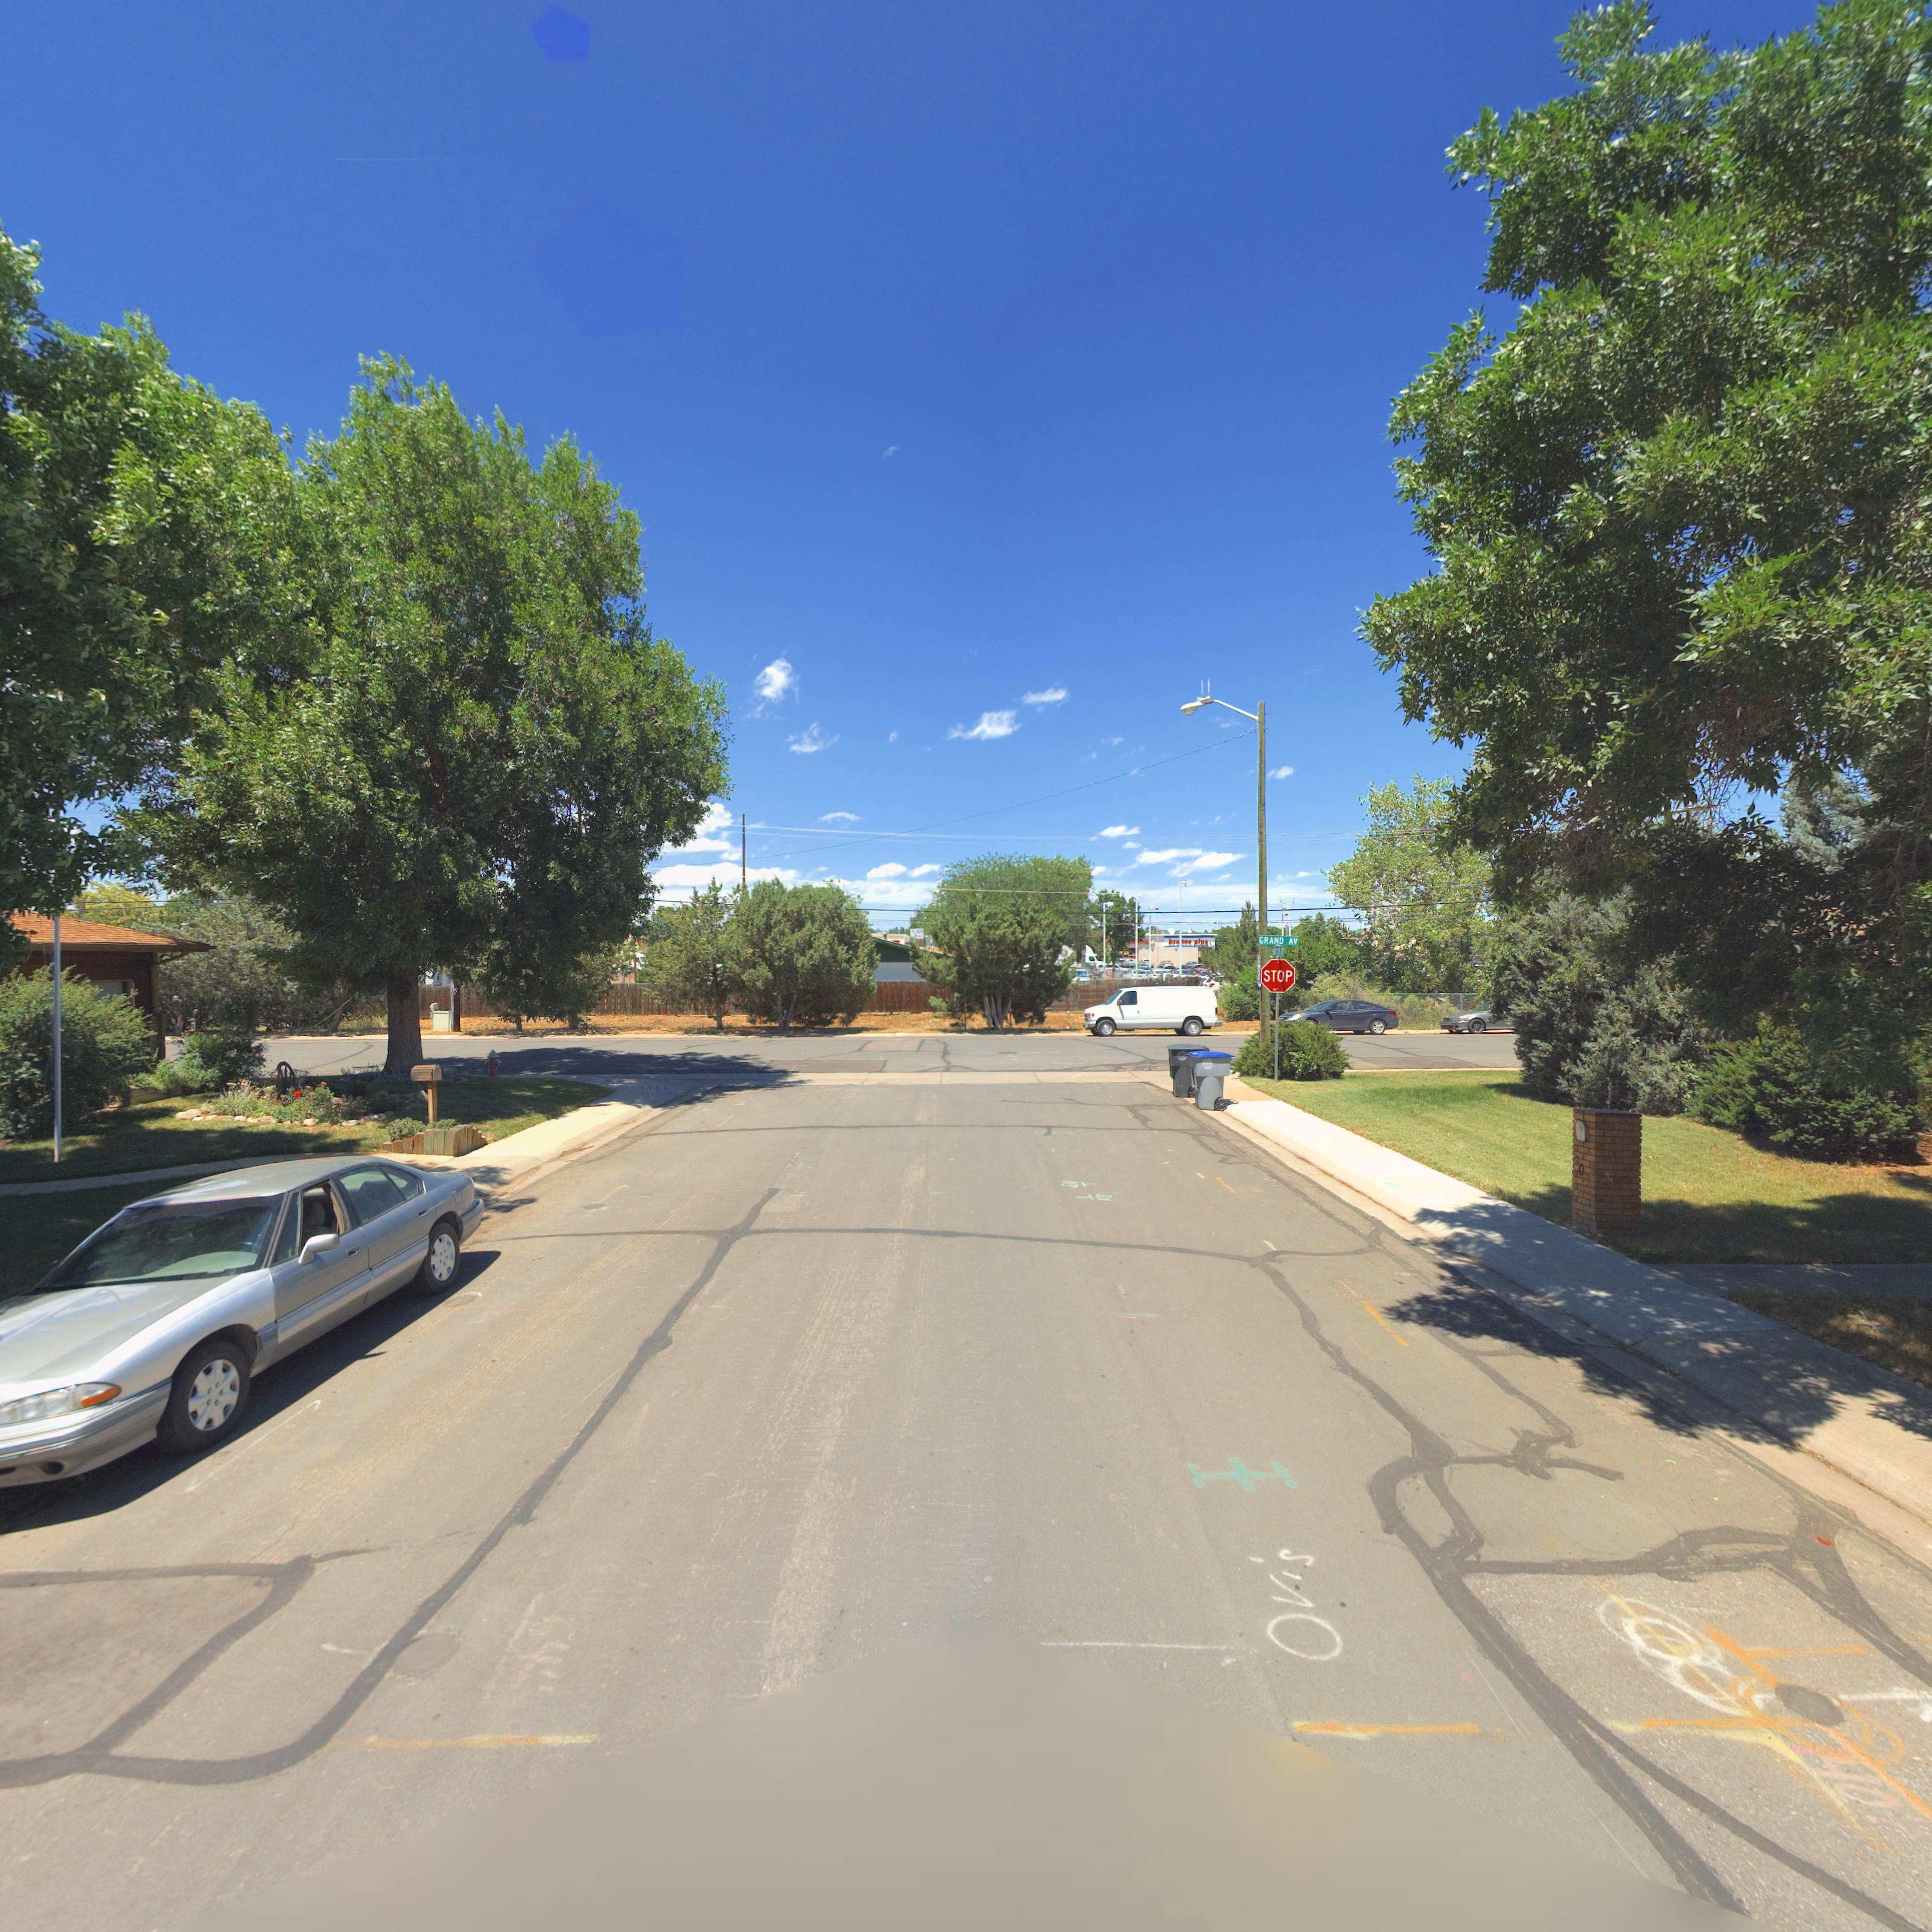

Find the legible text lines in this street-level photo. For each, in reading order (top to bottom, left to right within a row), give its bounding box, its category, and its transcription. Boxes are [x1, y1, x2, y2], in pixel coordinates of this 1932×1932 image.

[1168, 938, 1208, 945] BusinessName: bra*es plu*
[1259, 936, 1298, 945] StreetName: GRAND AV